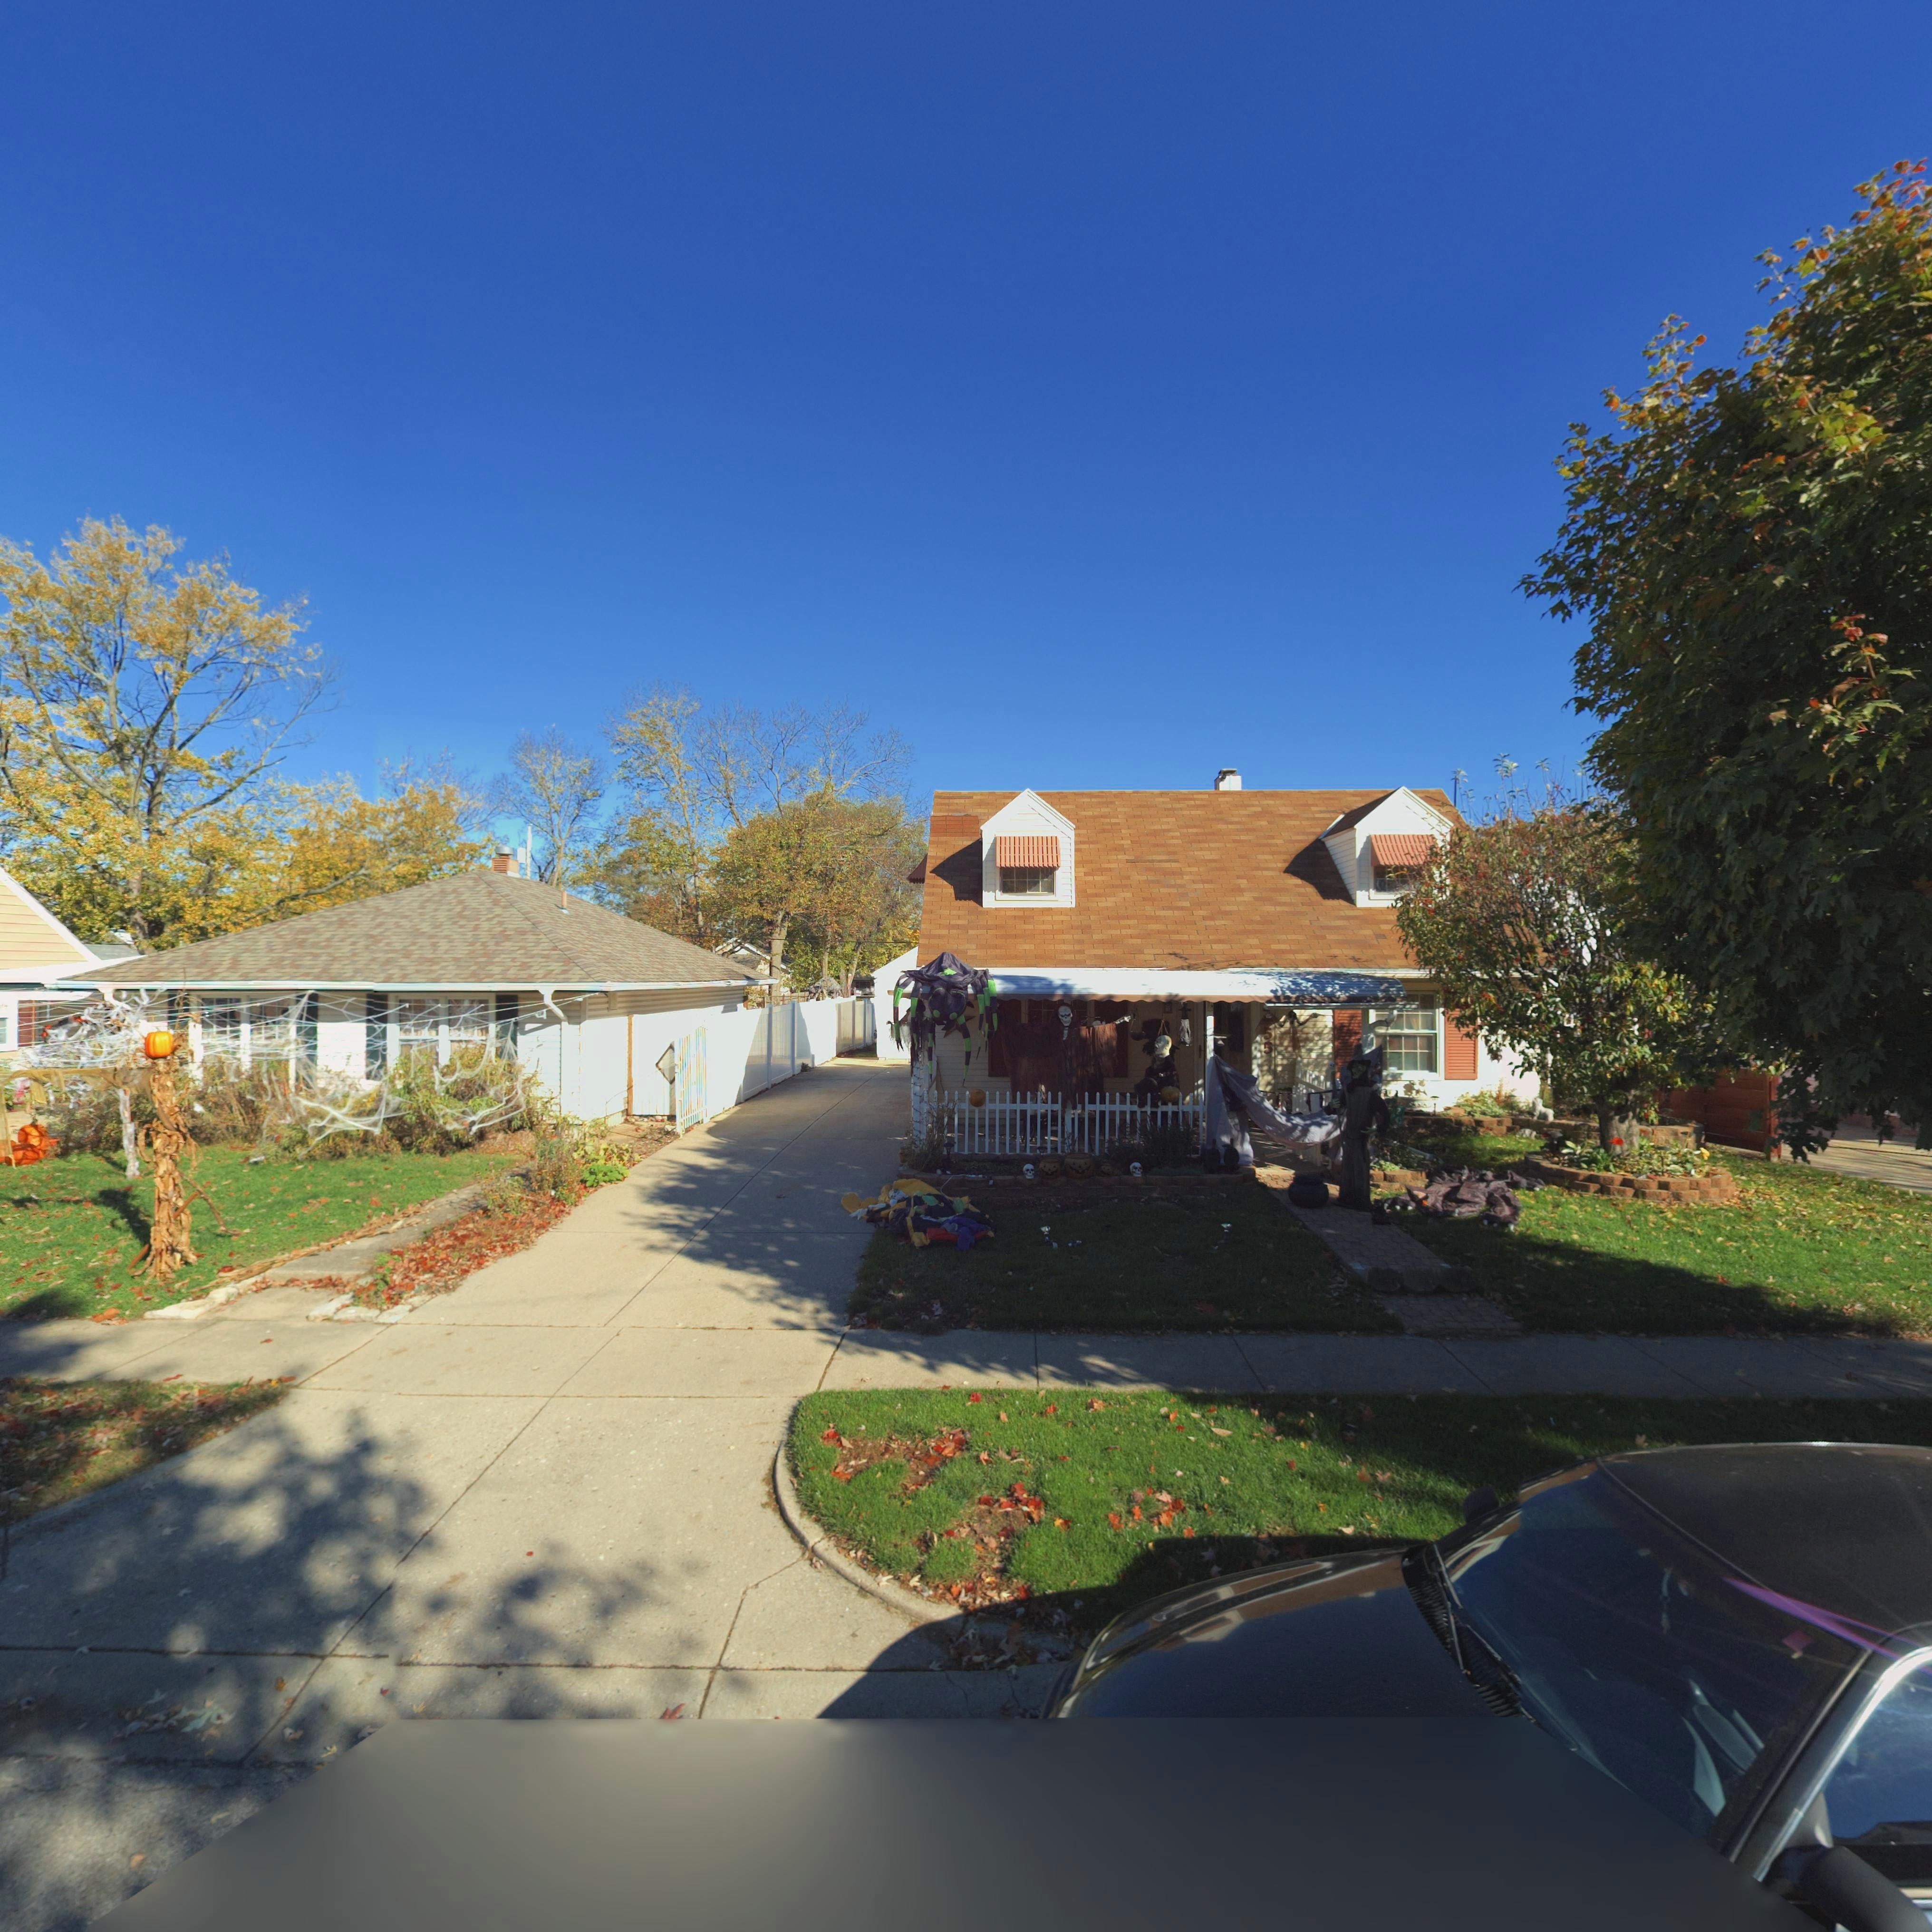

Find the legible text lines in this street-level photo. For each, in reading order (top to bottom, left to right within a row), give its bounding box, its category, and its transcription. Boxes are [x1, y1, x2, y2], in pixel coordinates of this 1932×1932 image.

[1263, 1027, 1274, 1054] StreetNumber: 55